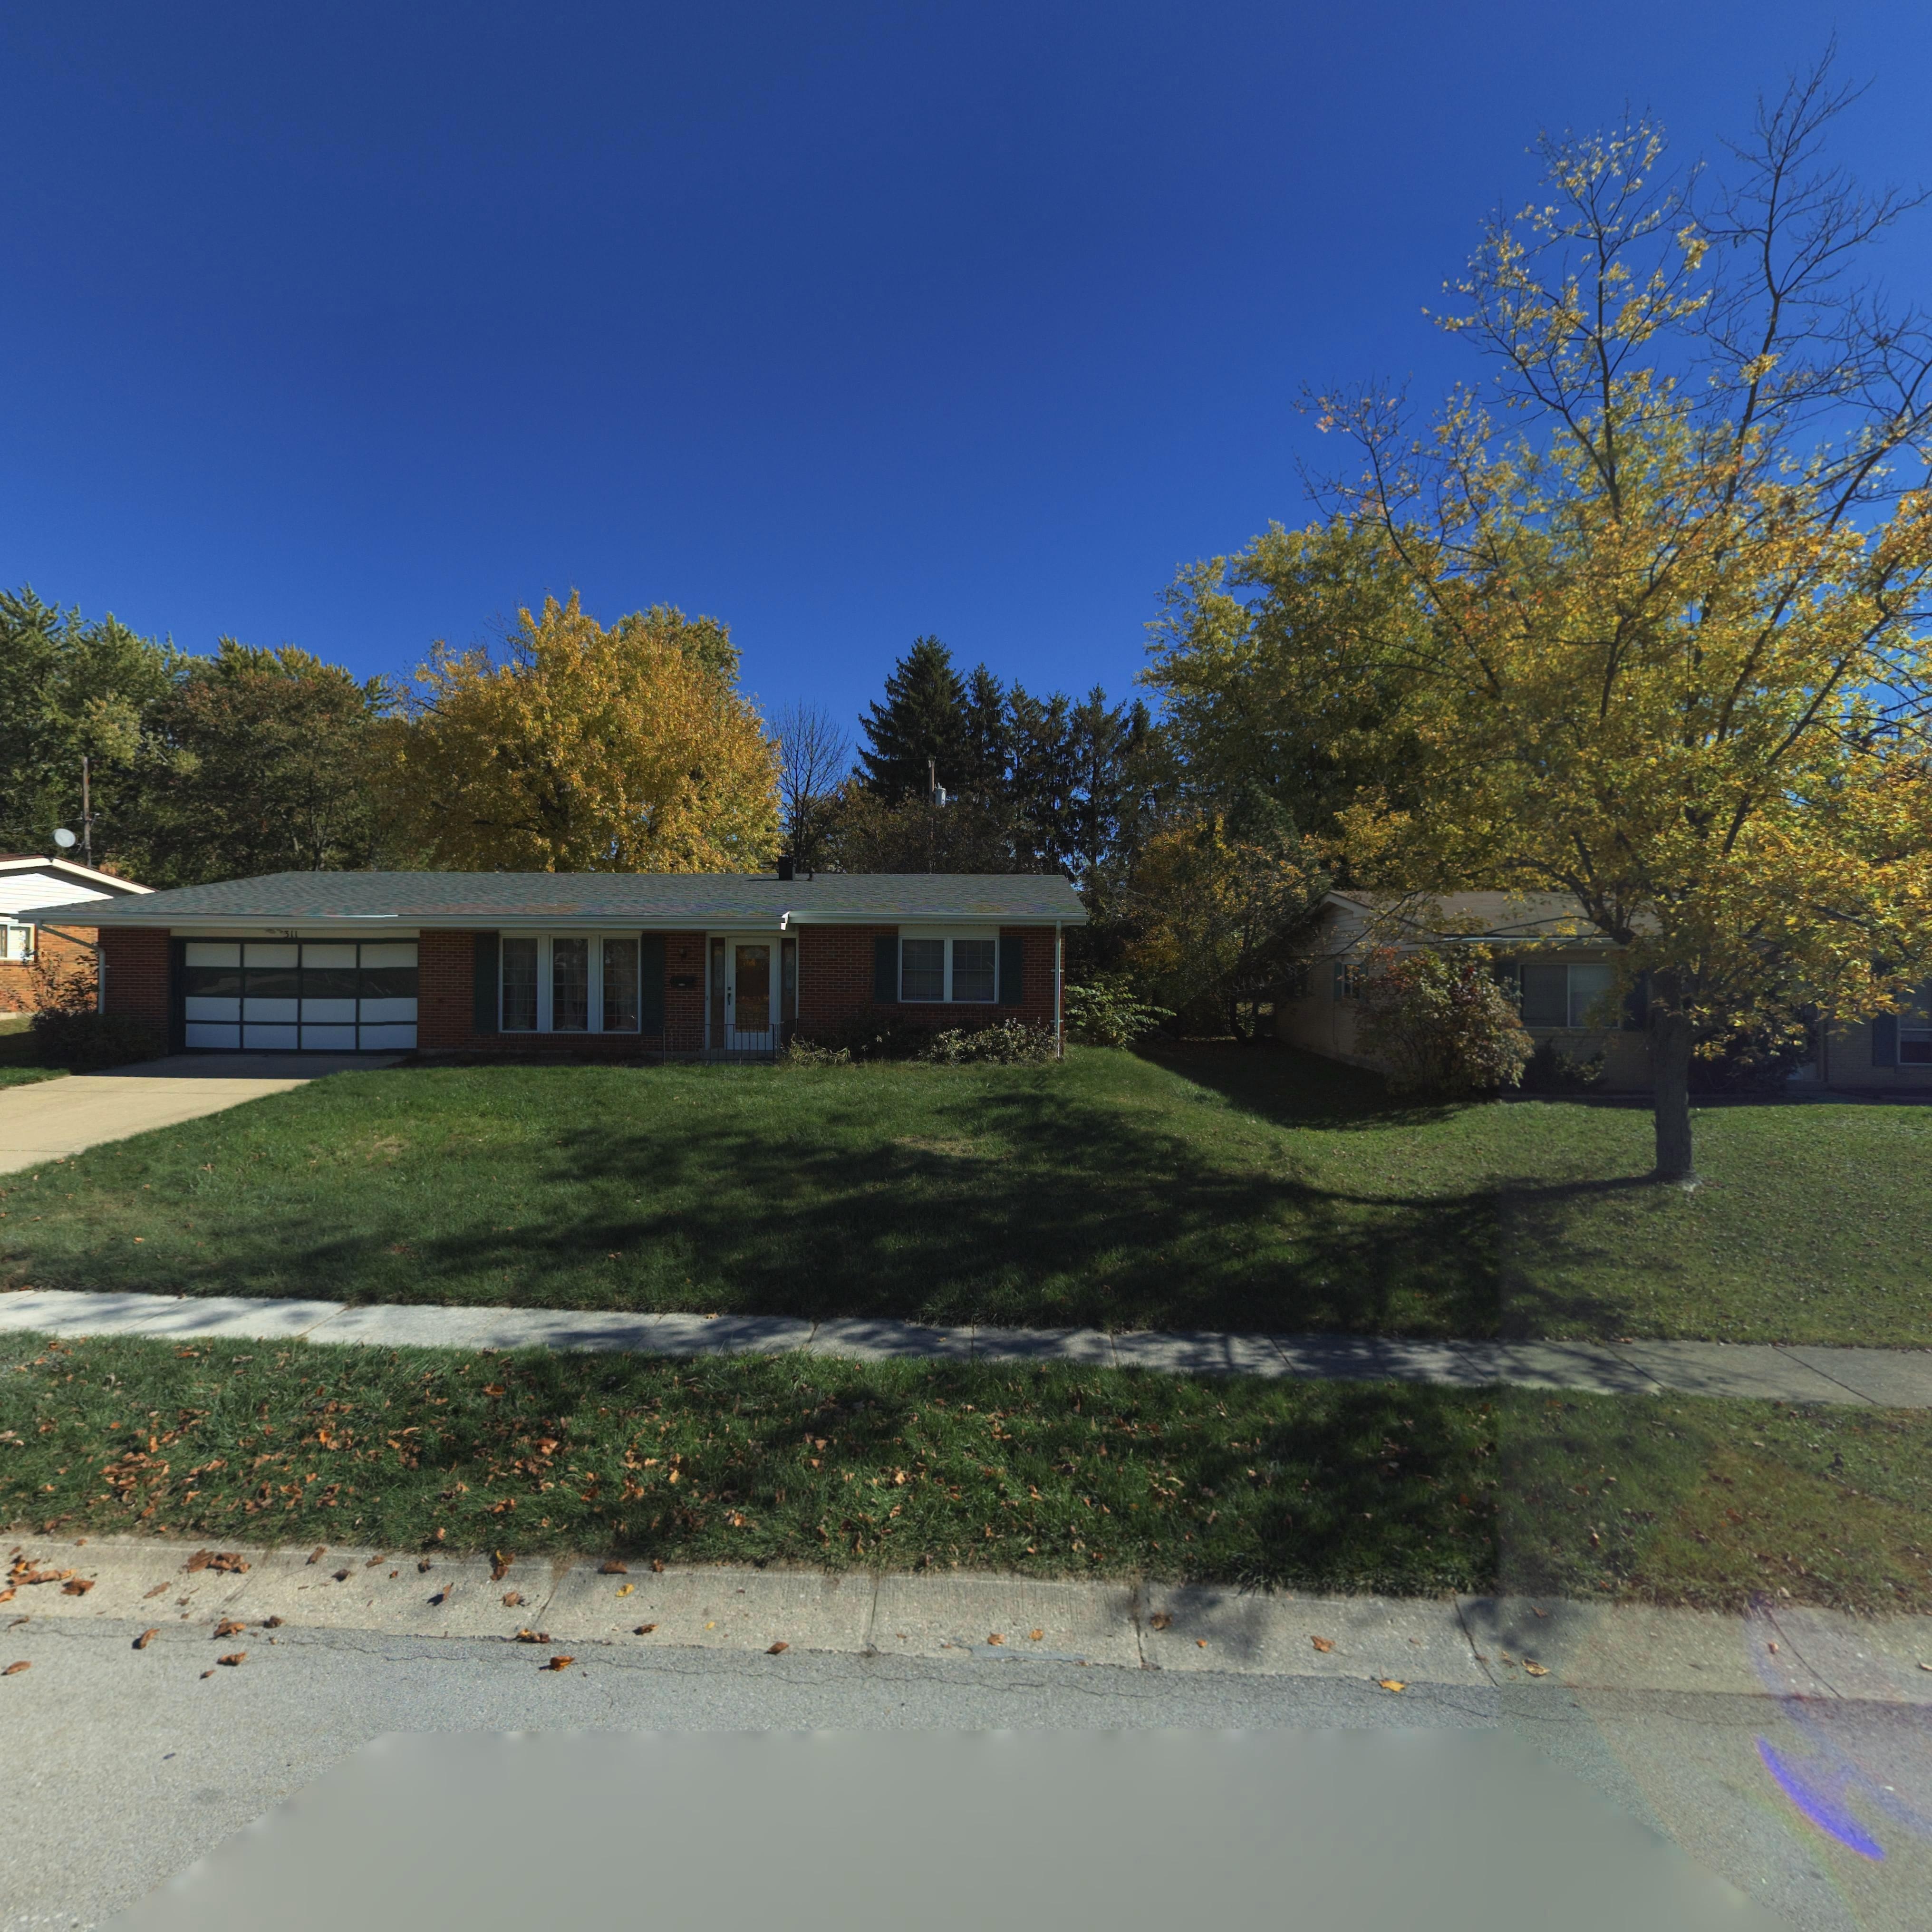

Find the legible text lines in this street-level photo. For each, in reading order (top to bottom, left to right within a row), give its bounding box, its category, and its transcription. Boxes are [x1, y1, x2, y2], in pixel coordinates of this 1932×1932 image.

[283, 930, 298, 938] StreetNumber: 311